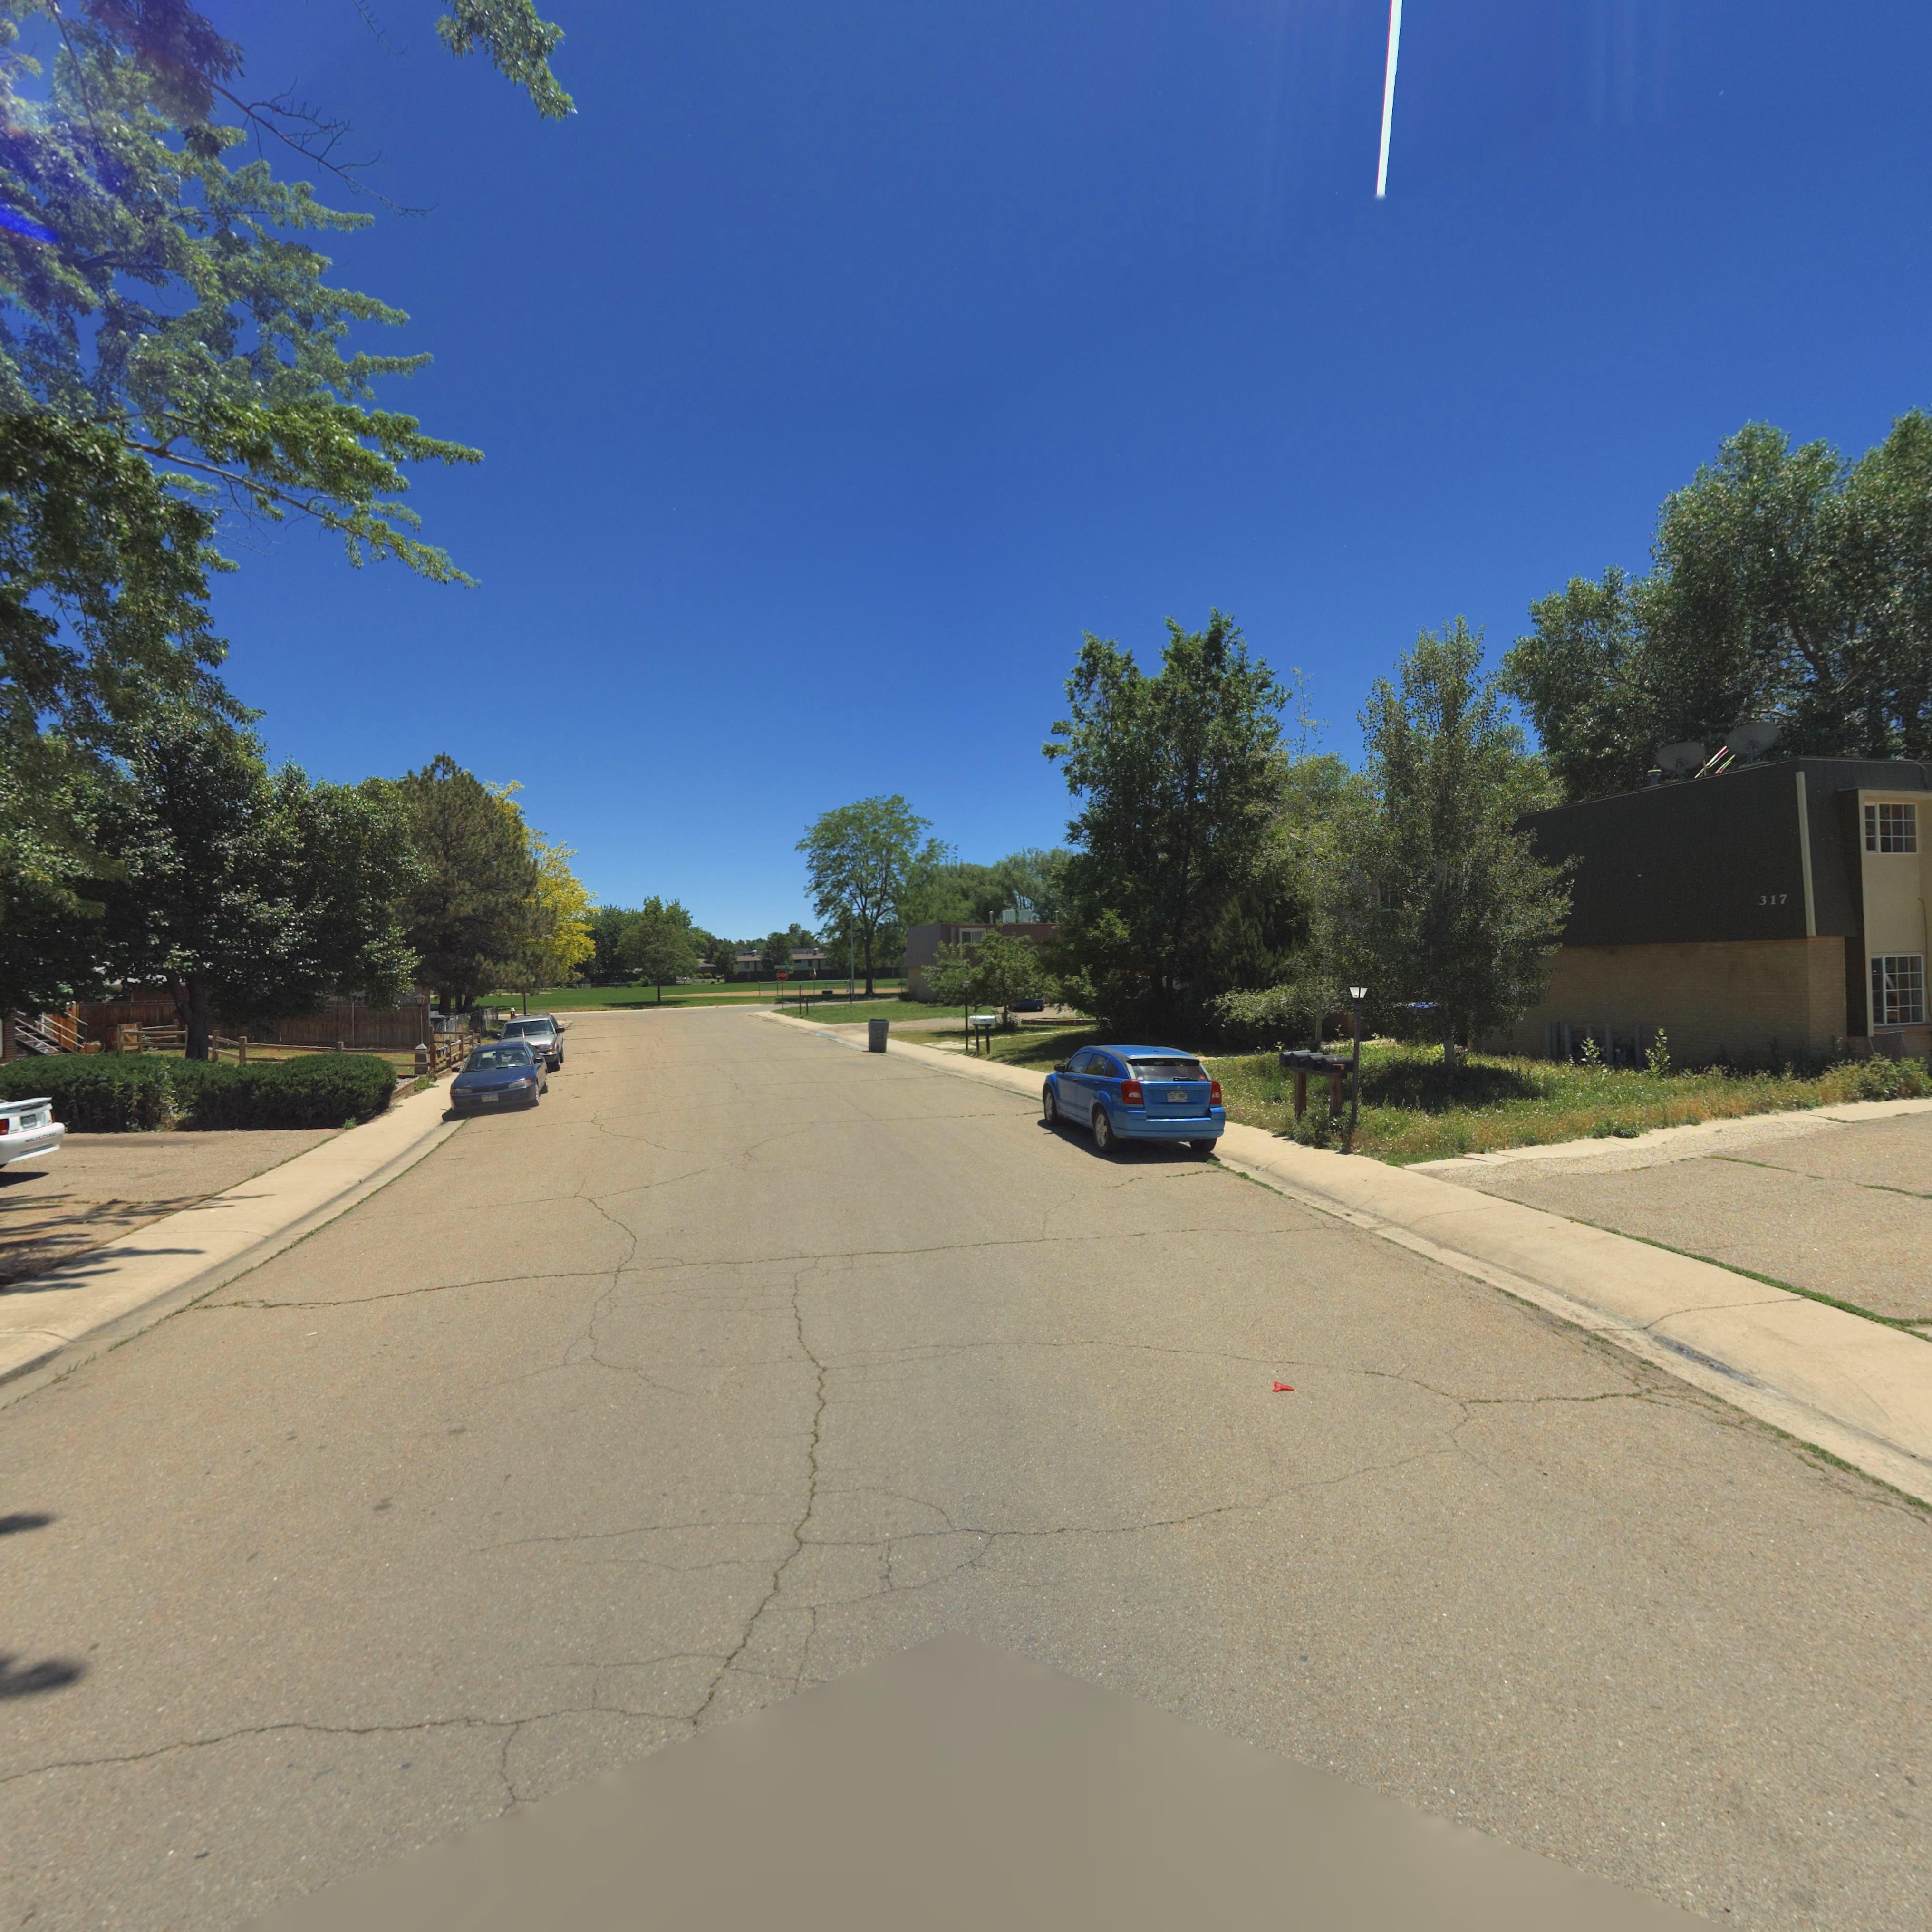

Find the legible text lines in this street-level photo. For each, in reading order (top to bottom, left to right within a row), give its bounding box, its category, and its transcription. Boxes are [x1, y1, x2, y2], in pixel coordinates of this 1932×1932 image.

[1758, 893, 1787, 906] StreetNumber: 317